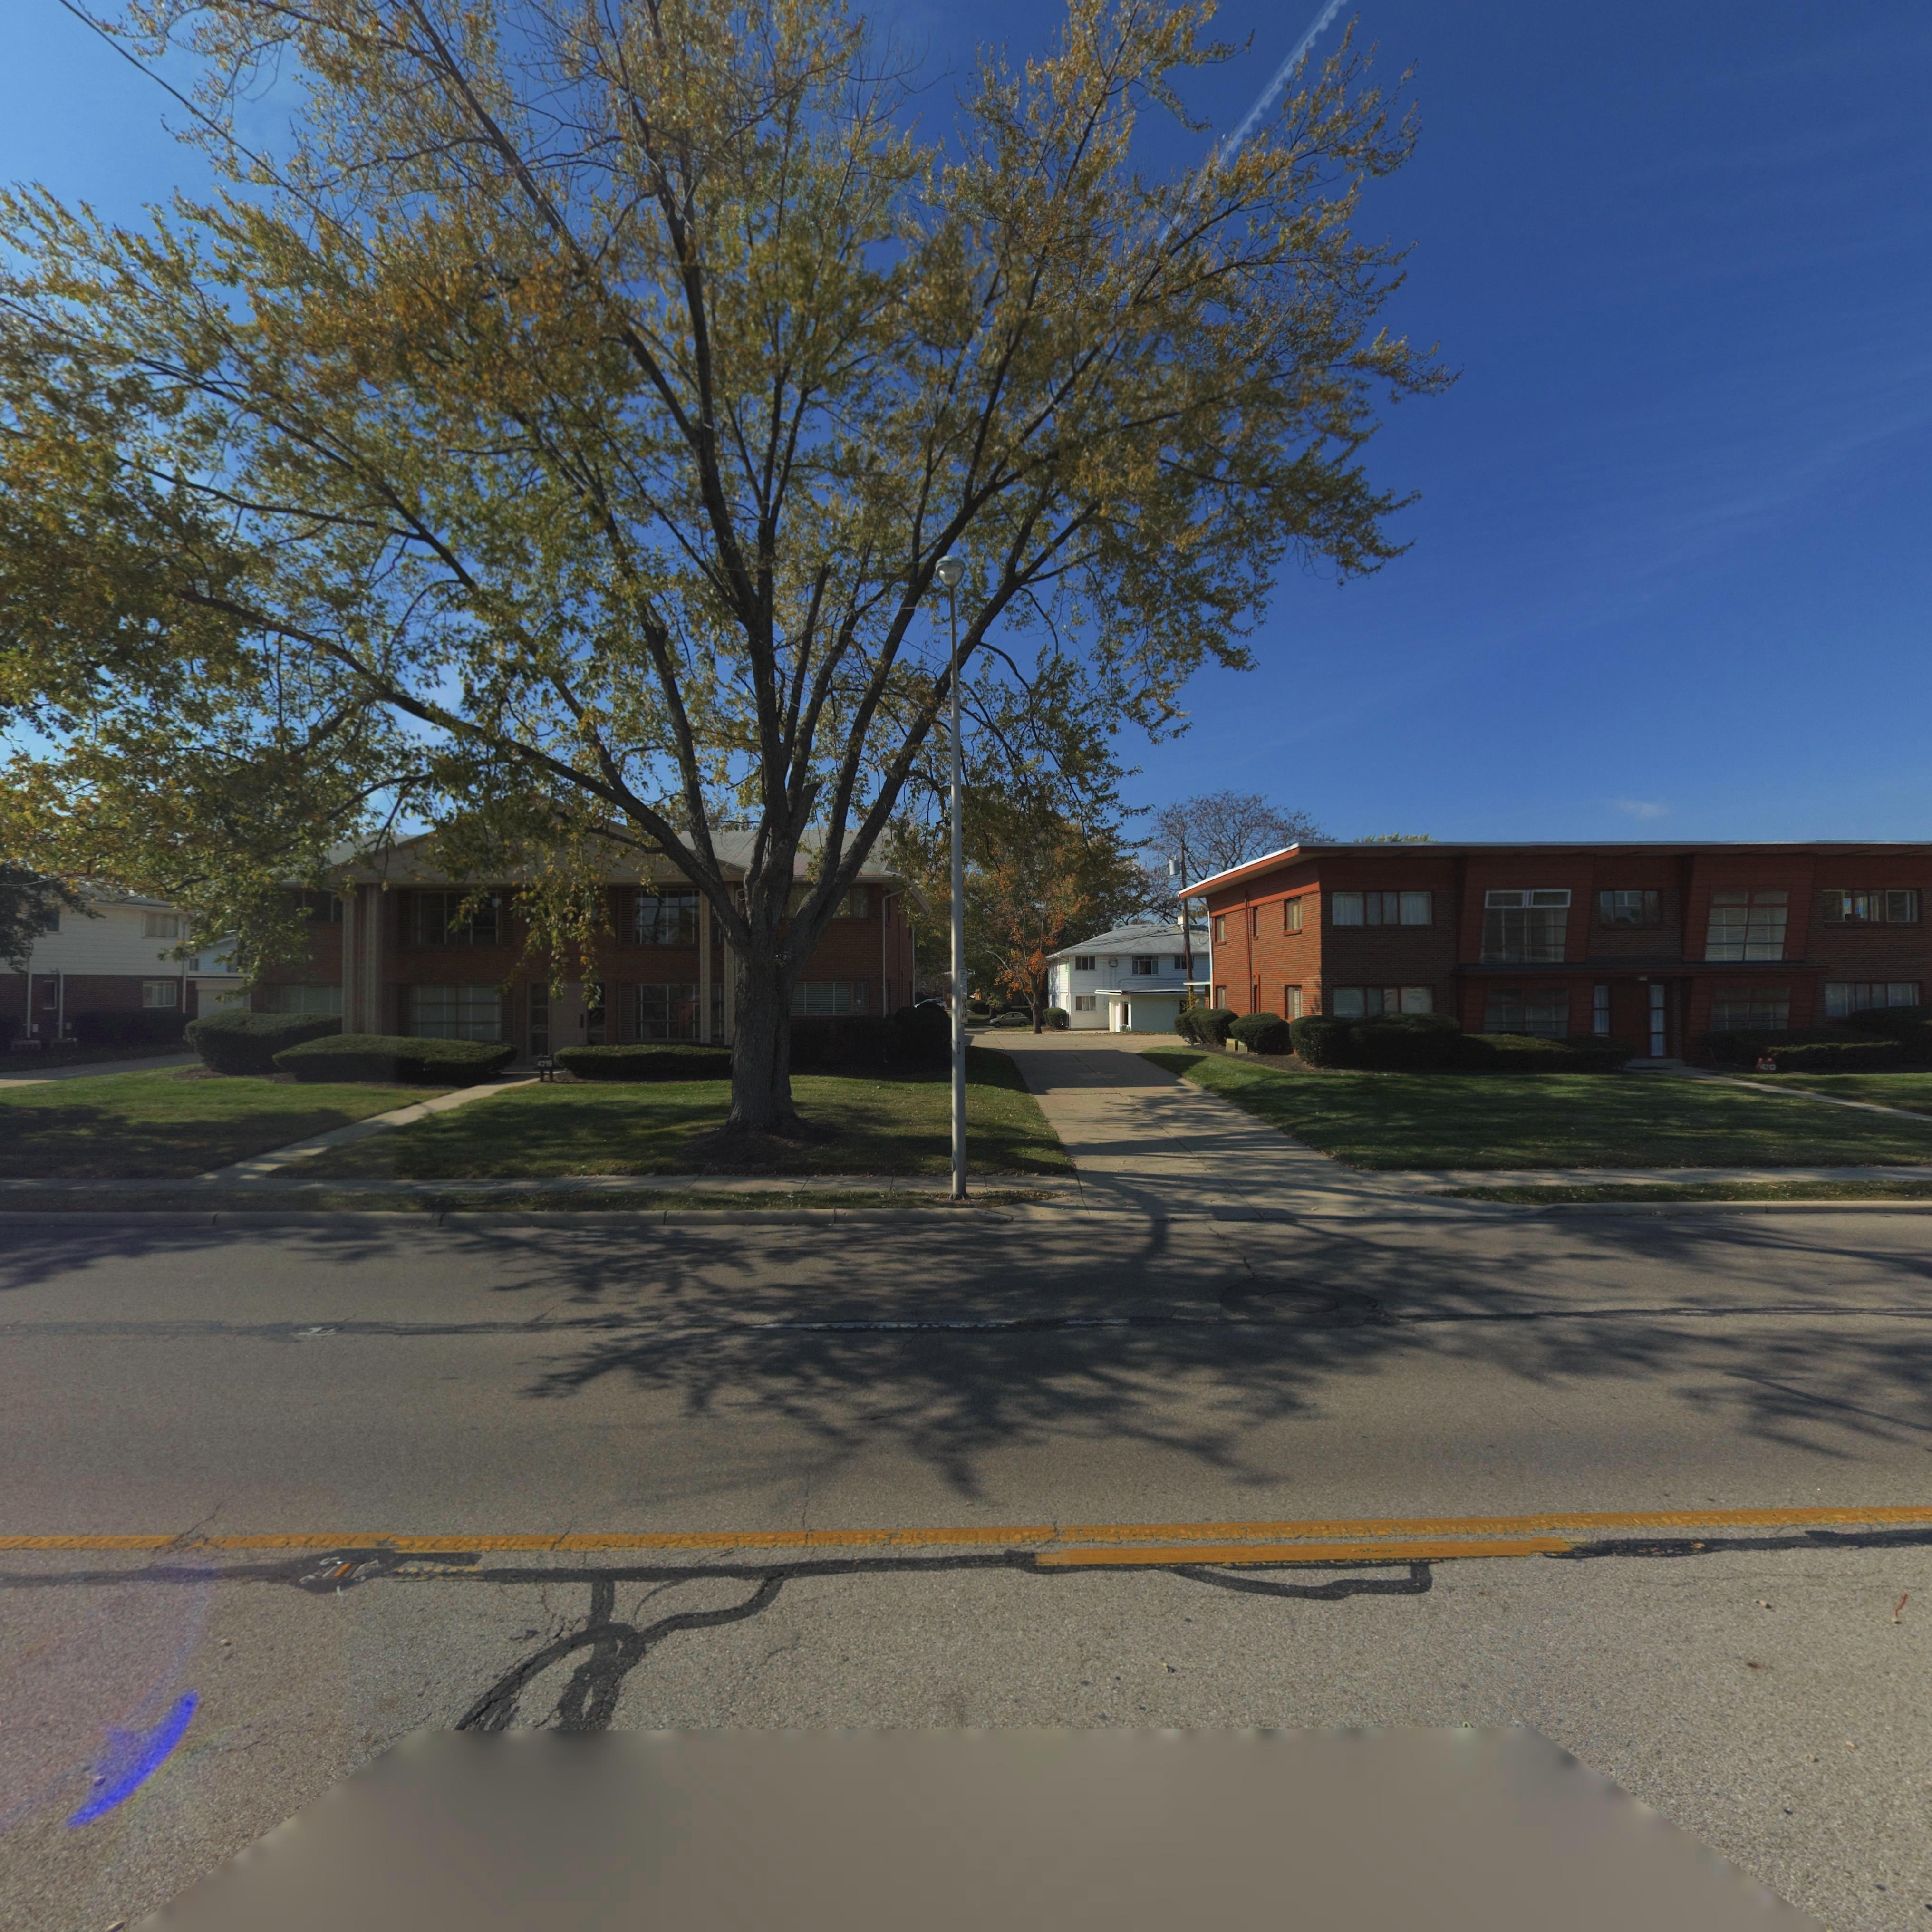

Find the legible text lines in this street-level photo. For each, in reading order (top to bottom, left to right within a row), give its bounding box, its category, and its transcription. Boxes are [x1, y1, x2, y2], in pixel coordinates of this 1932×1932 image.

[961, 998, 967, 1018] None: 35
[537, 1060, 552, 1067] StreetNumber: 4129
[1759, 1063, 1777, 1071] StreetNumber: 4213